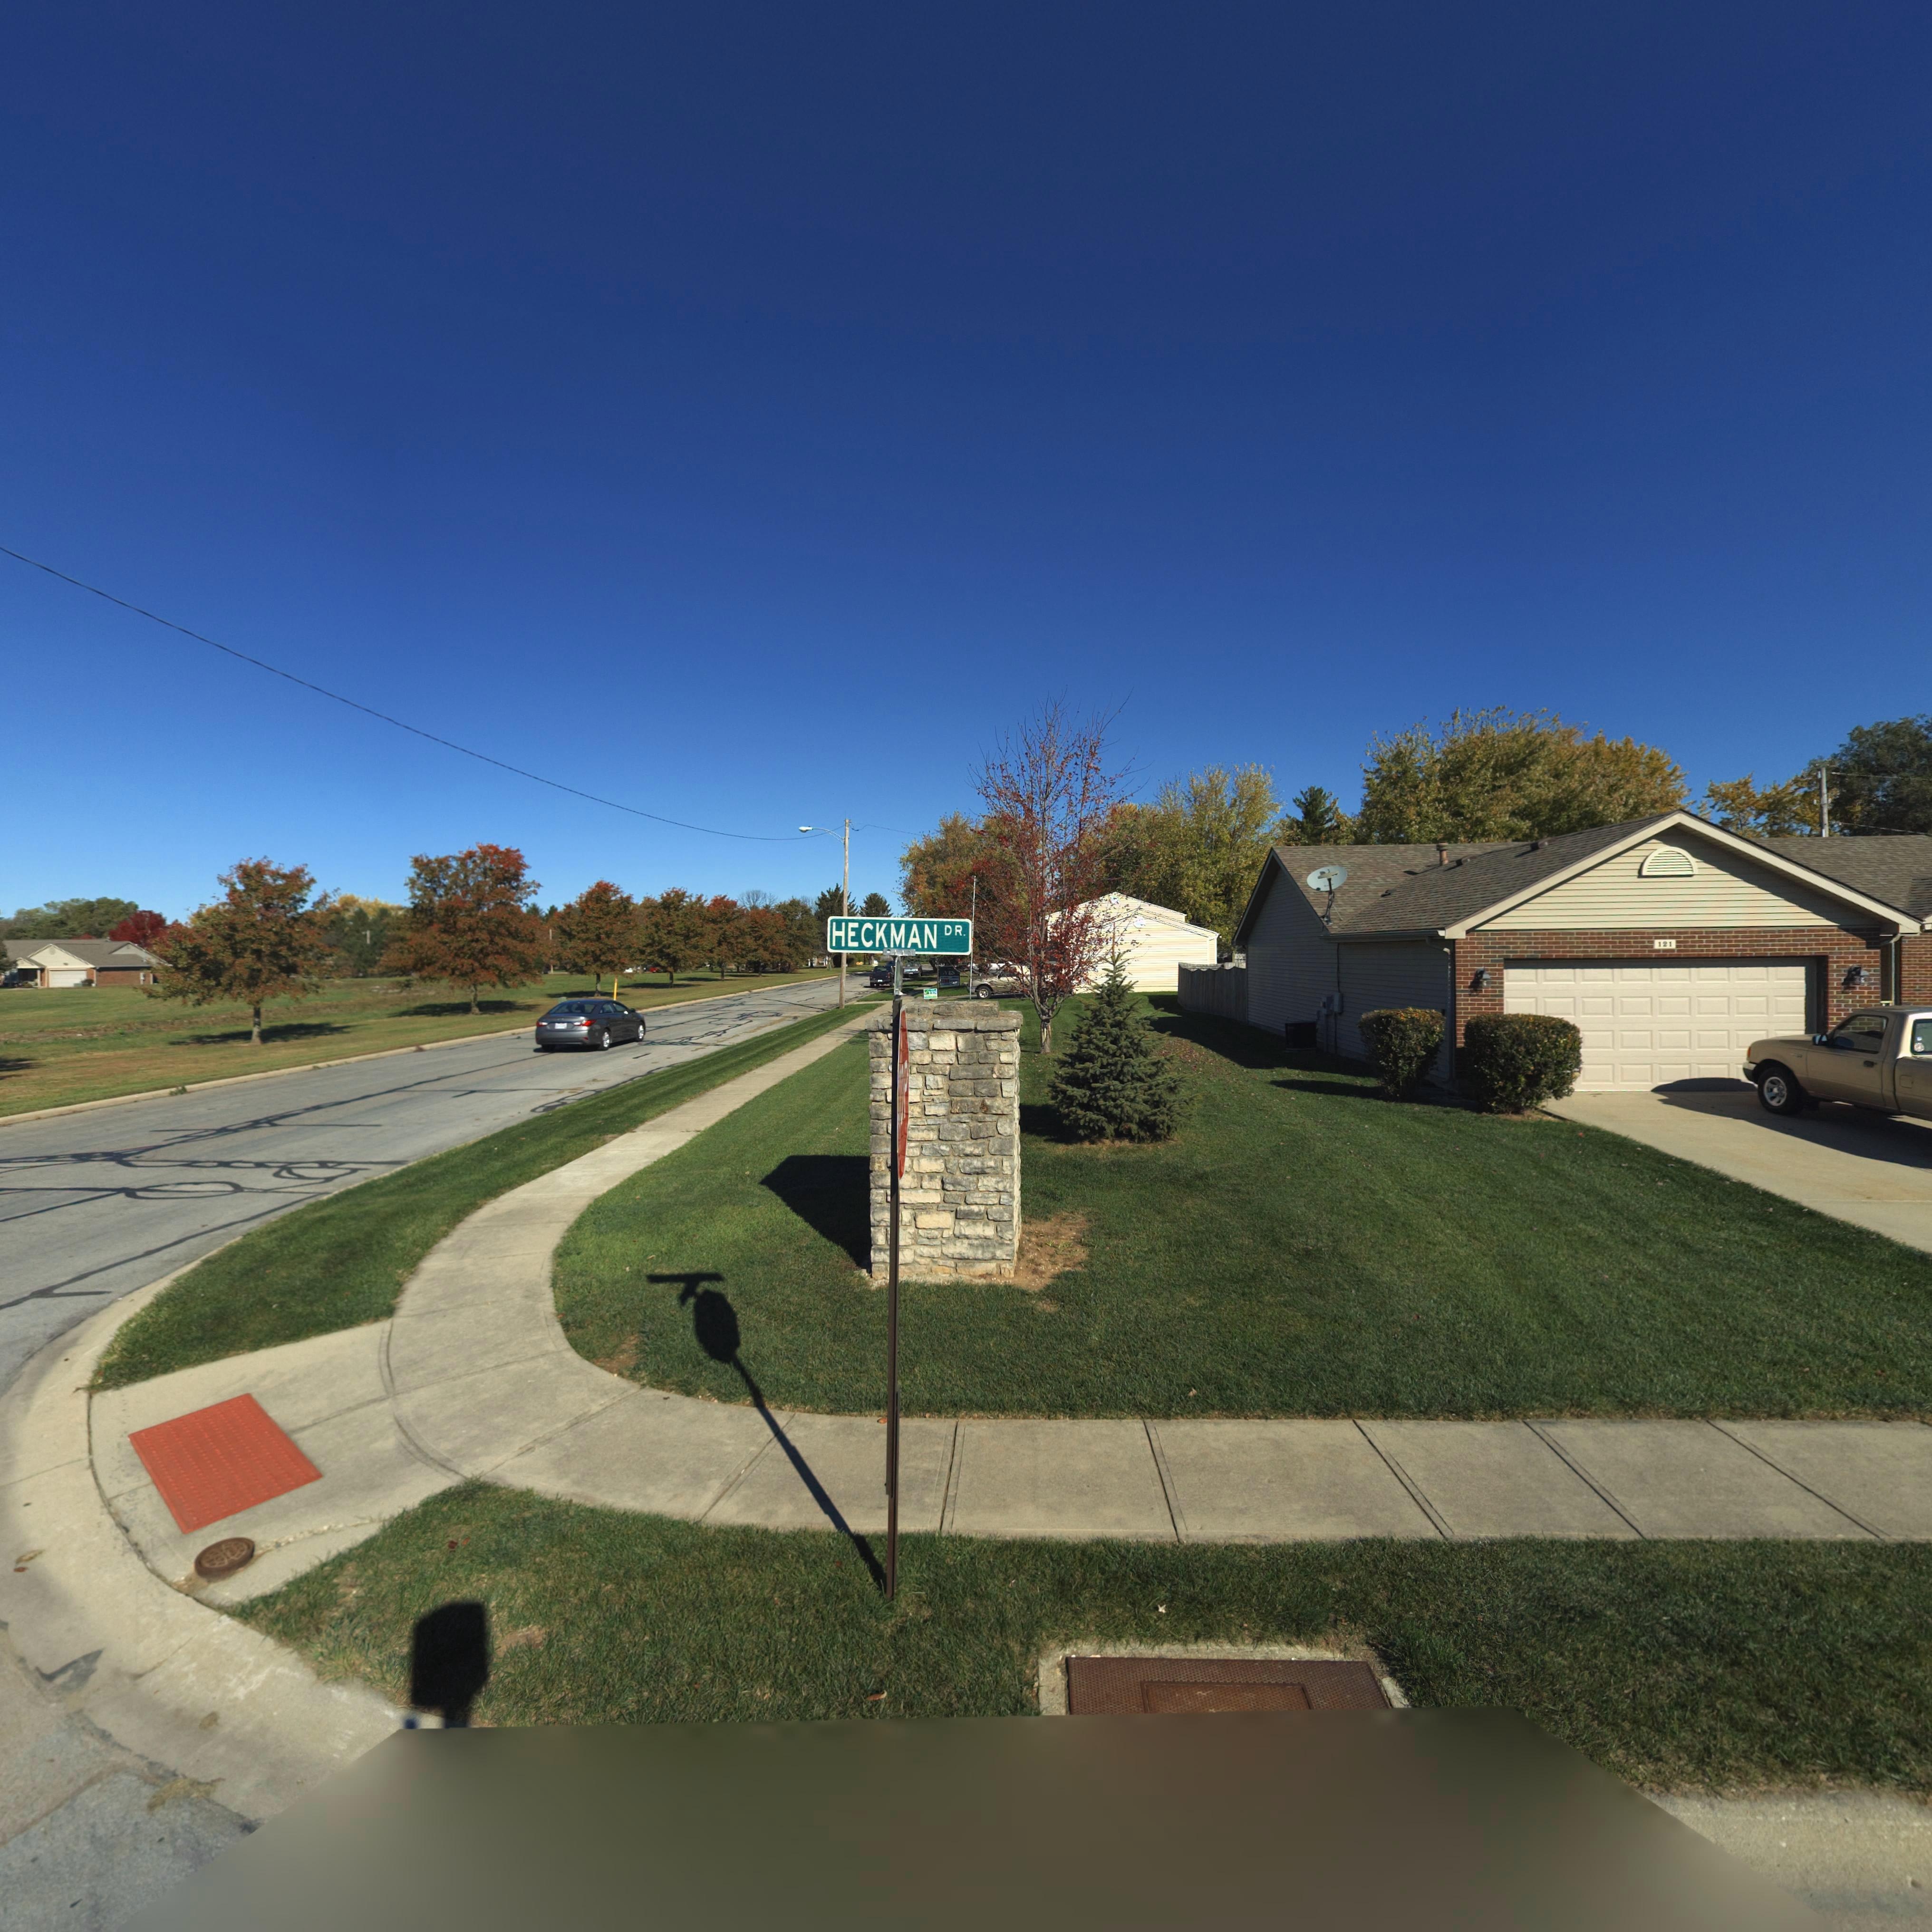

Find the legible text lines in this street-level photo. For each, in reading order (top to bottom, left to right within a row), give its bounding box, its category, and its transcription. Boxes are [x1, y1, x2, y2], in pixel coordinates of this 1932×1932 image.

[825, 915, 969, 952] None: HECKMAN DR.
[1657, 941, 1672, 947] StreetNumber: 121